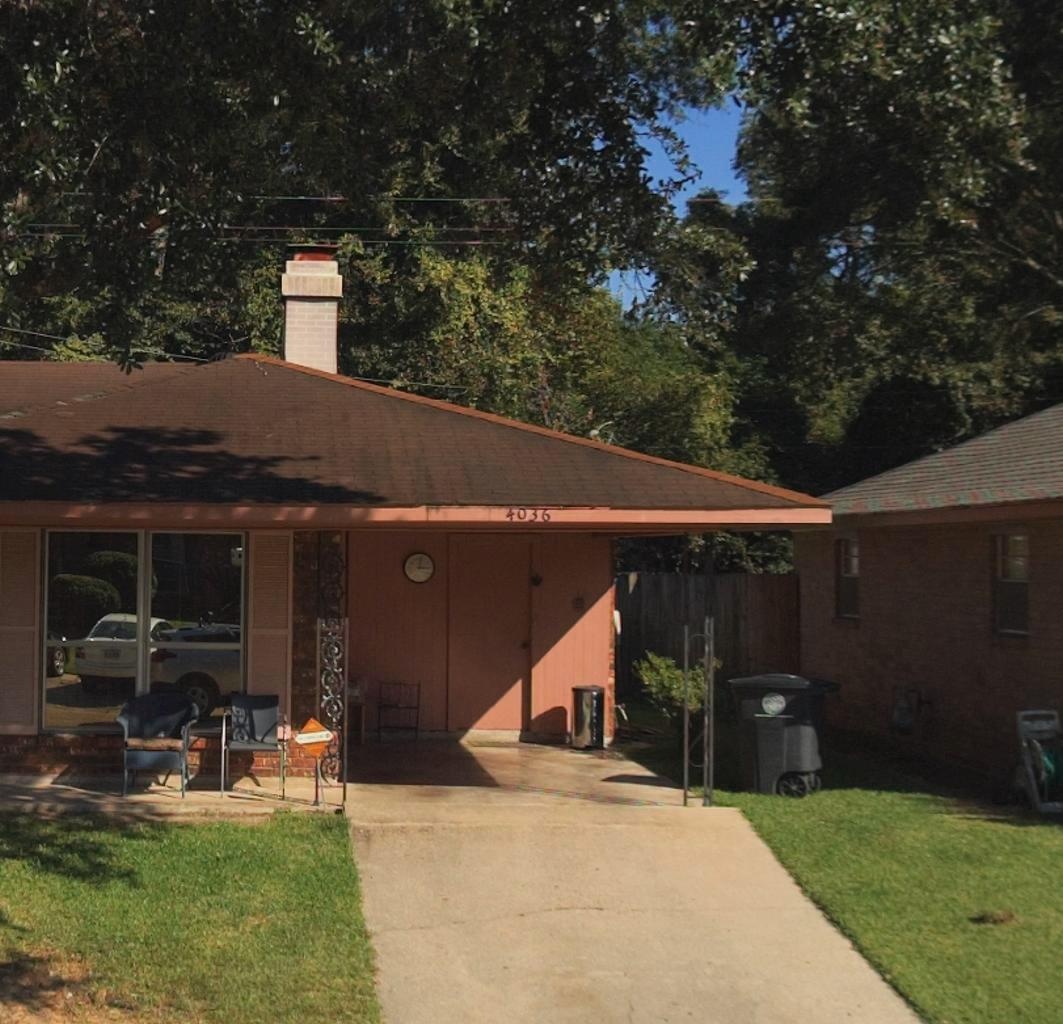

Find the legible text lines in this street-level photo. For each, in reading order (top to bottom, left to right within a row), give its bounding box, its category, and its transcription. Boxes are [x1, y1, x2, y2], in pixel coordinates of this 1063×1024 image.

[505, 506, 551, 523] StreetNumber: 4036